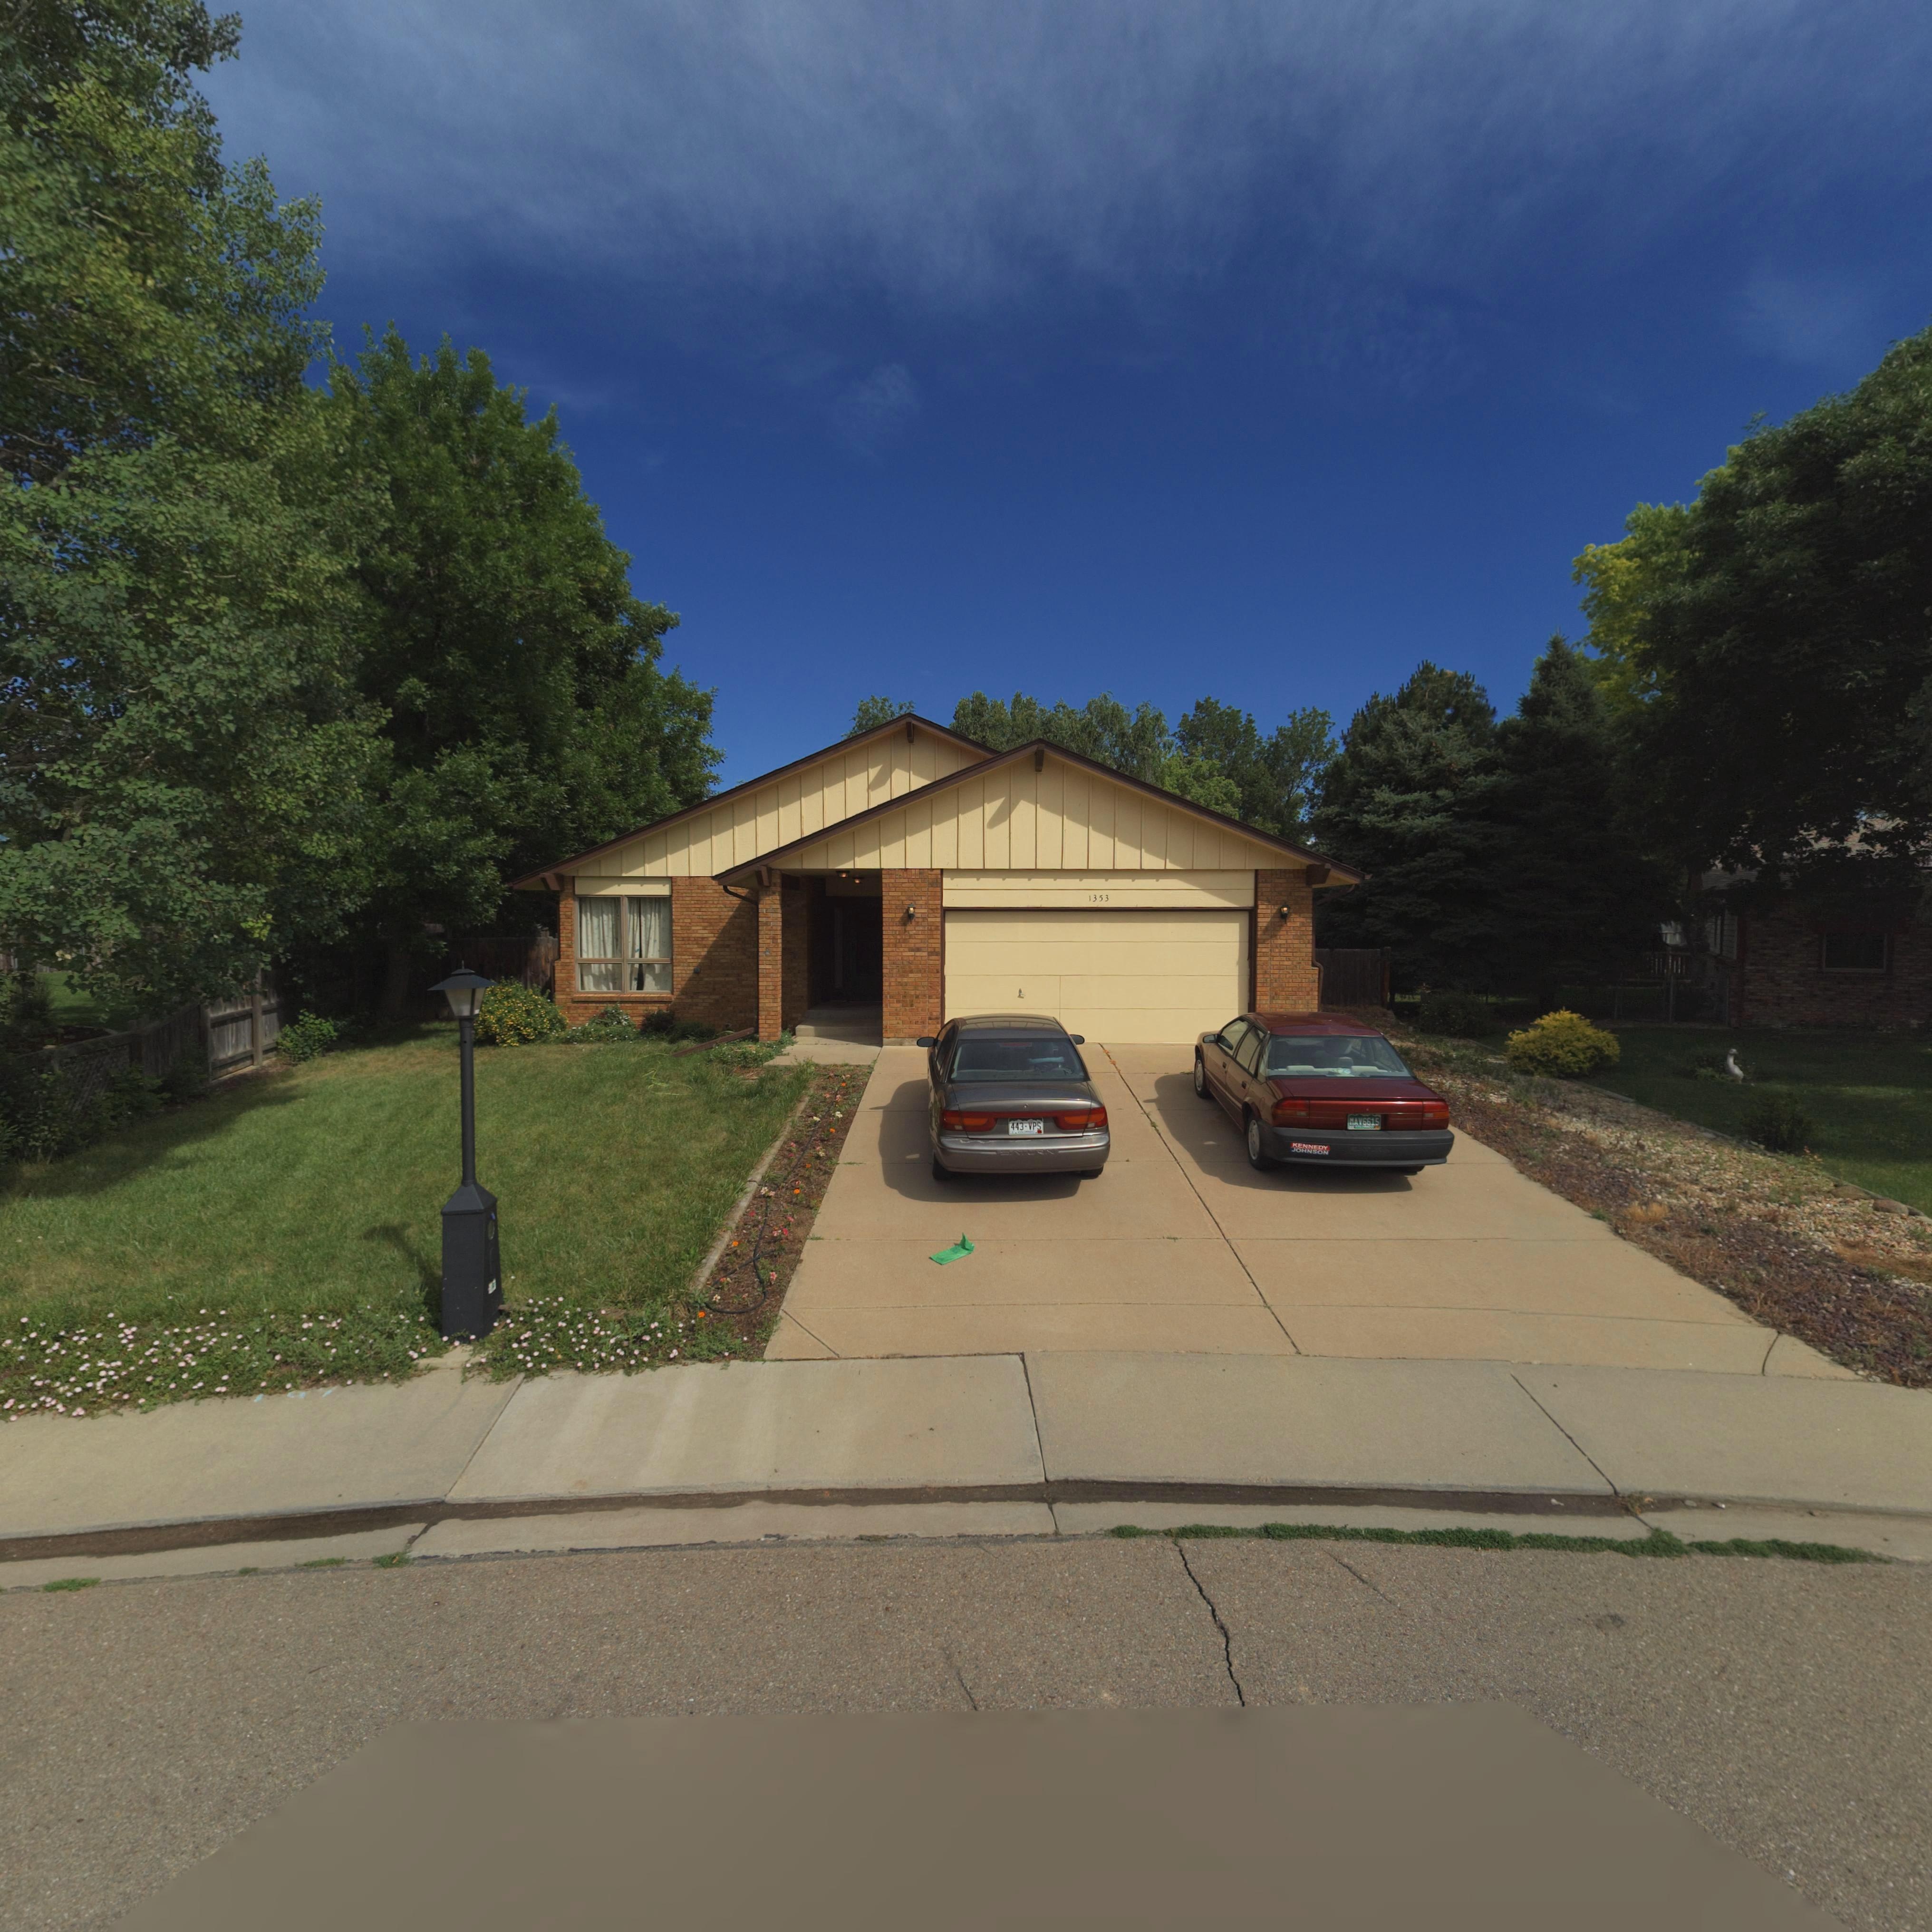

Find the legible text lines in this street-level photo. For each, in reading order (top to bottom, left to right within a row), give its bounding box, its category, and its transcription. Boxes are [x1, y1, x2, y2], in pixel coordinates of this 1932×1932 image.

[1088, 894, 1109, 902] StreetNumber: 1353